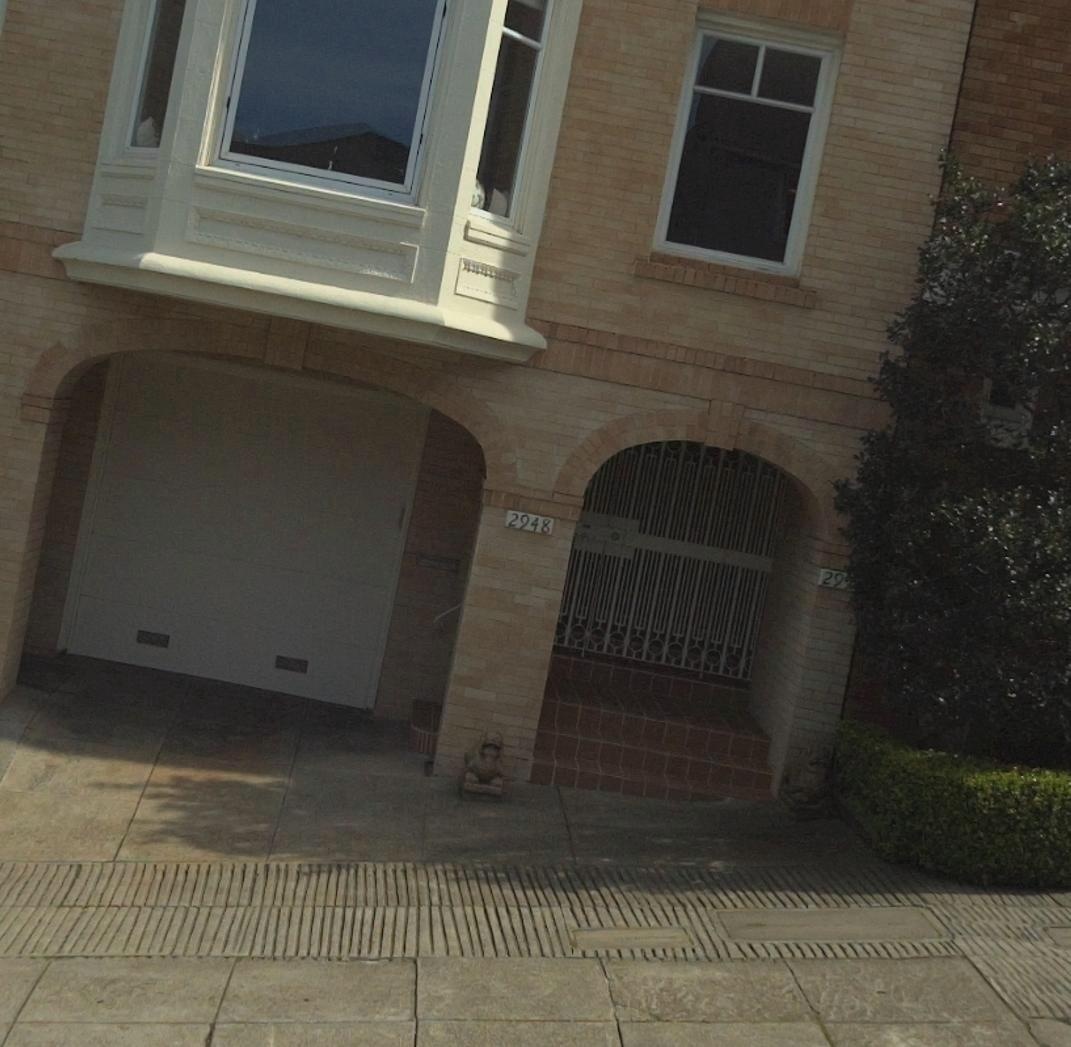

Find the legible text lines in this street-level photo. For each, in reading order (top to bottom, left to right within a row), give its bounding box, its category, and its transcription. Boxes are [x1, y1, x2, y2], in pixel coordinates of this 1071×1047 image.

[504, 510, 554, 537] StreetNumber: 2948
[819, 568, 847, 591] StreetNumber: 29